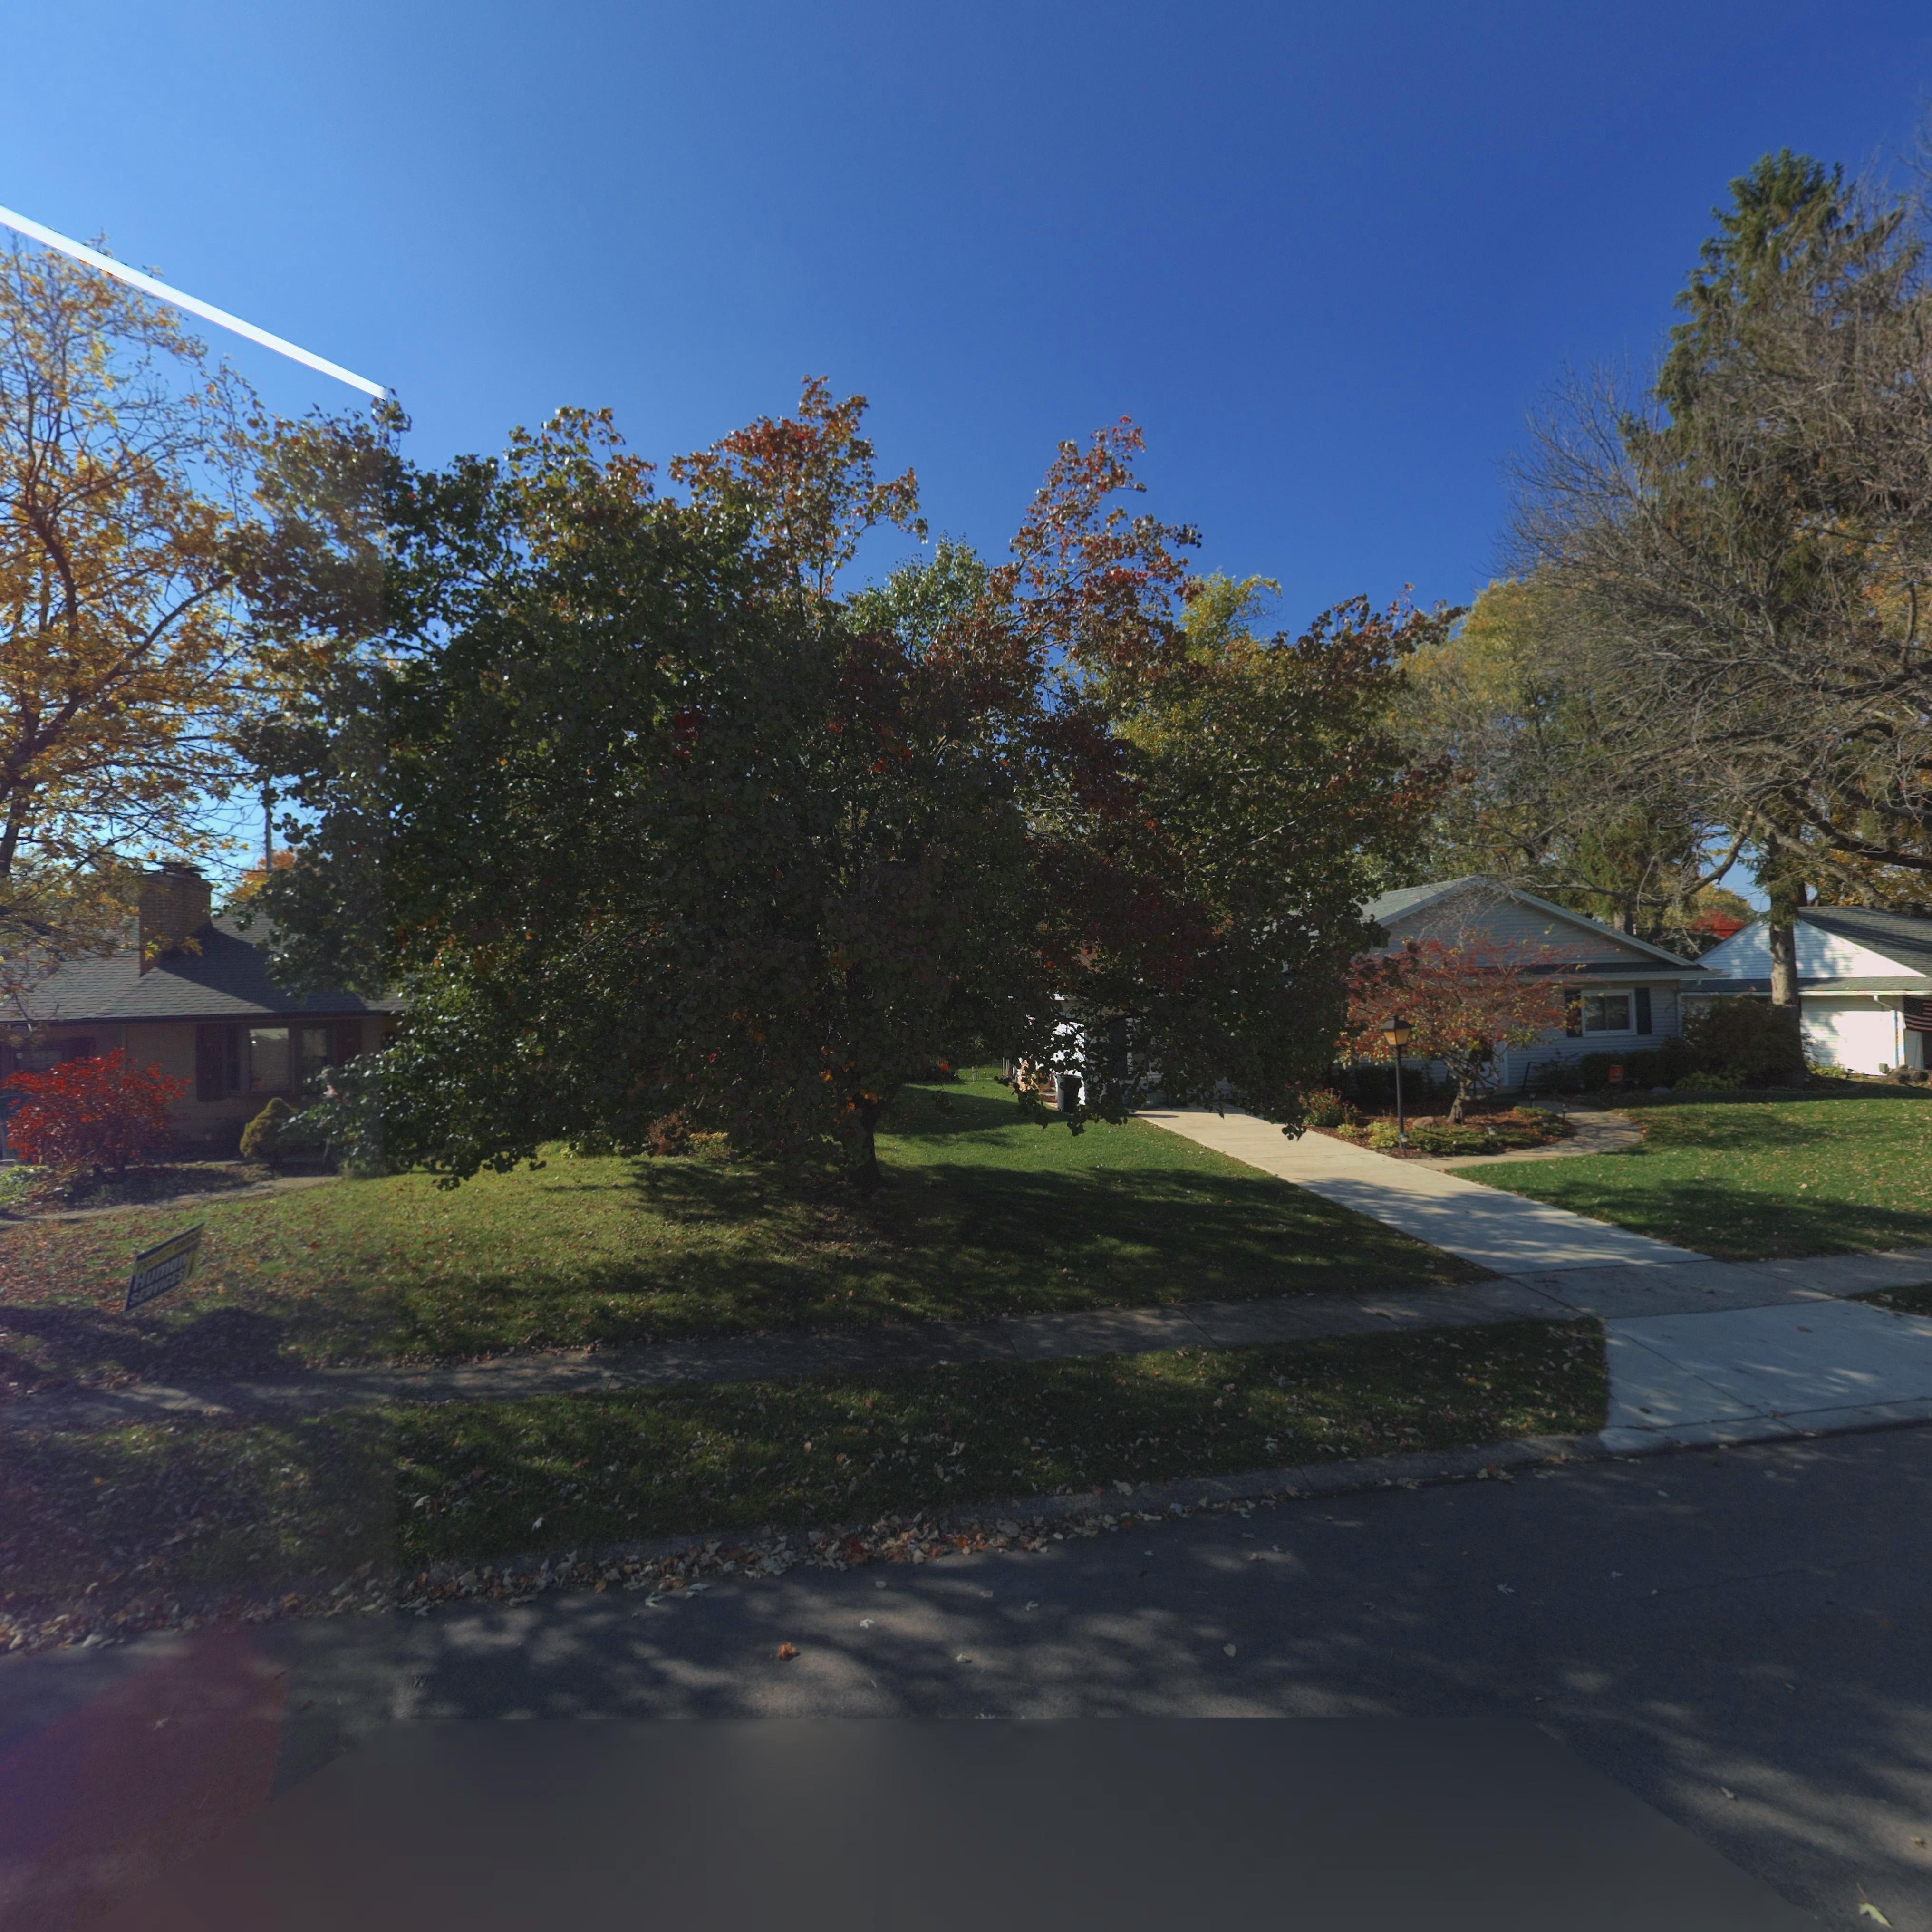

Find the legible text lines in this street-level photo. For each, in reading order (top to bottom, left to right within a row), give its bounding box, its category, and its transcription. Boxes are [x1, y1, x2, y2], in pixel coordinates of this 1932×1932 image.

[127, 1266, 186, 1308] None: SERVICES
[130, 1250, 189, 1294] None: Human